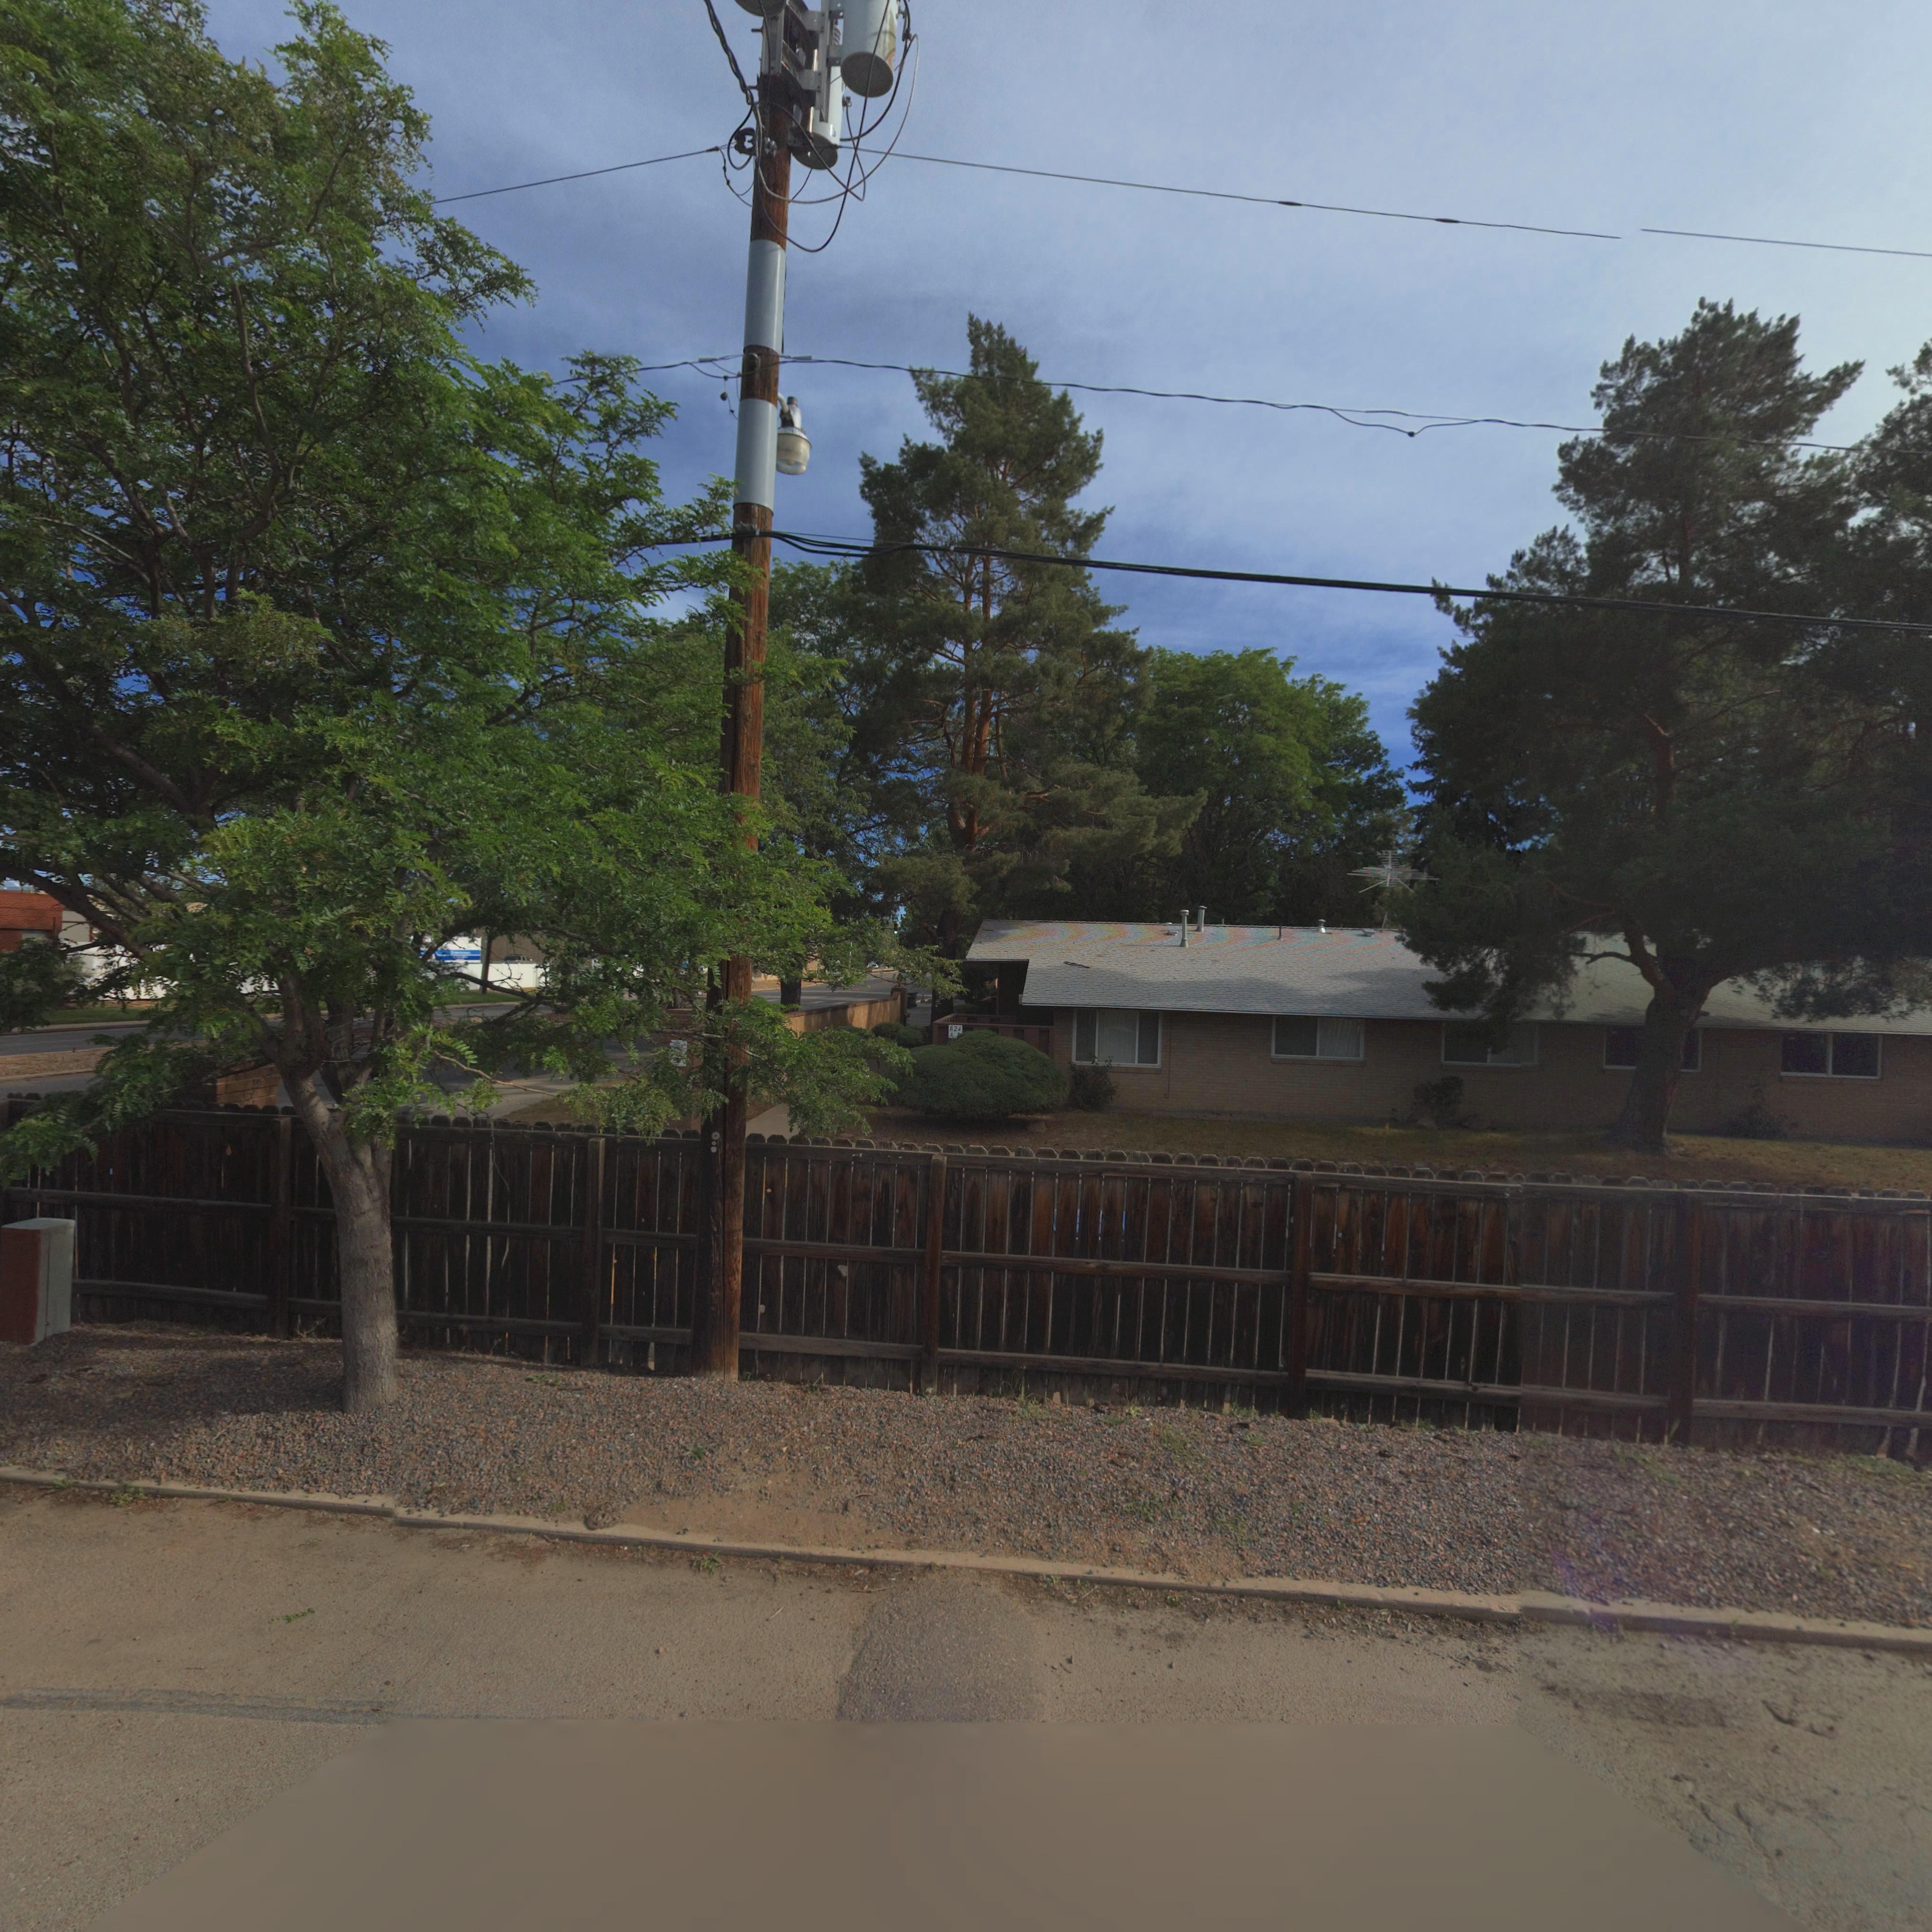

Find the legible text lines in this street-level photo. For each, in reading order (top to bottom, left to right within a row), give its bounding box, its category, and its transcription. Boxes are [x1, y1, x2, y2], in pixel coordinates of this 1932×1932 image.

[949, 1025, 961, 1032] StreetNumber: 824